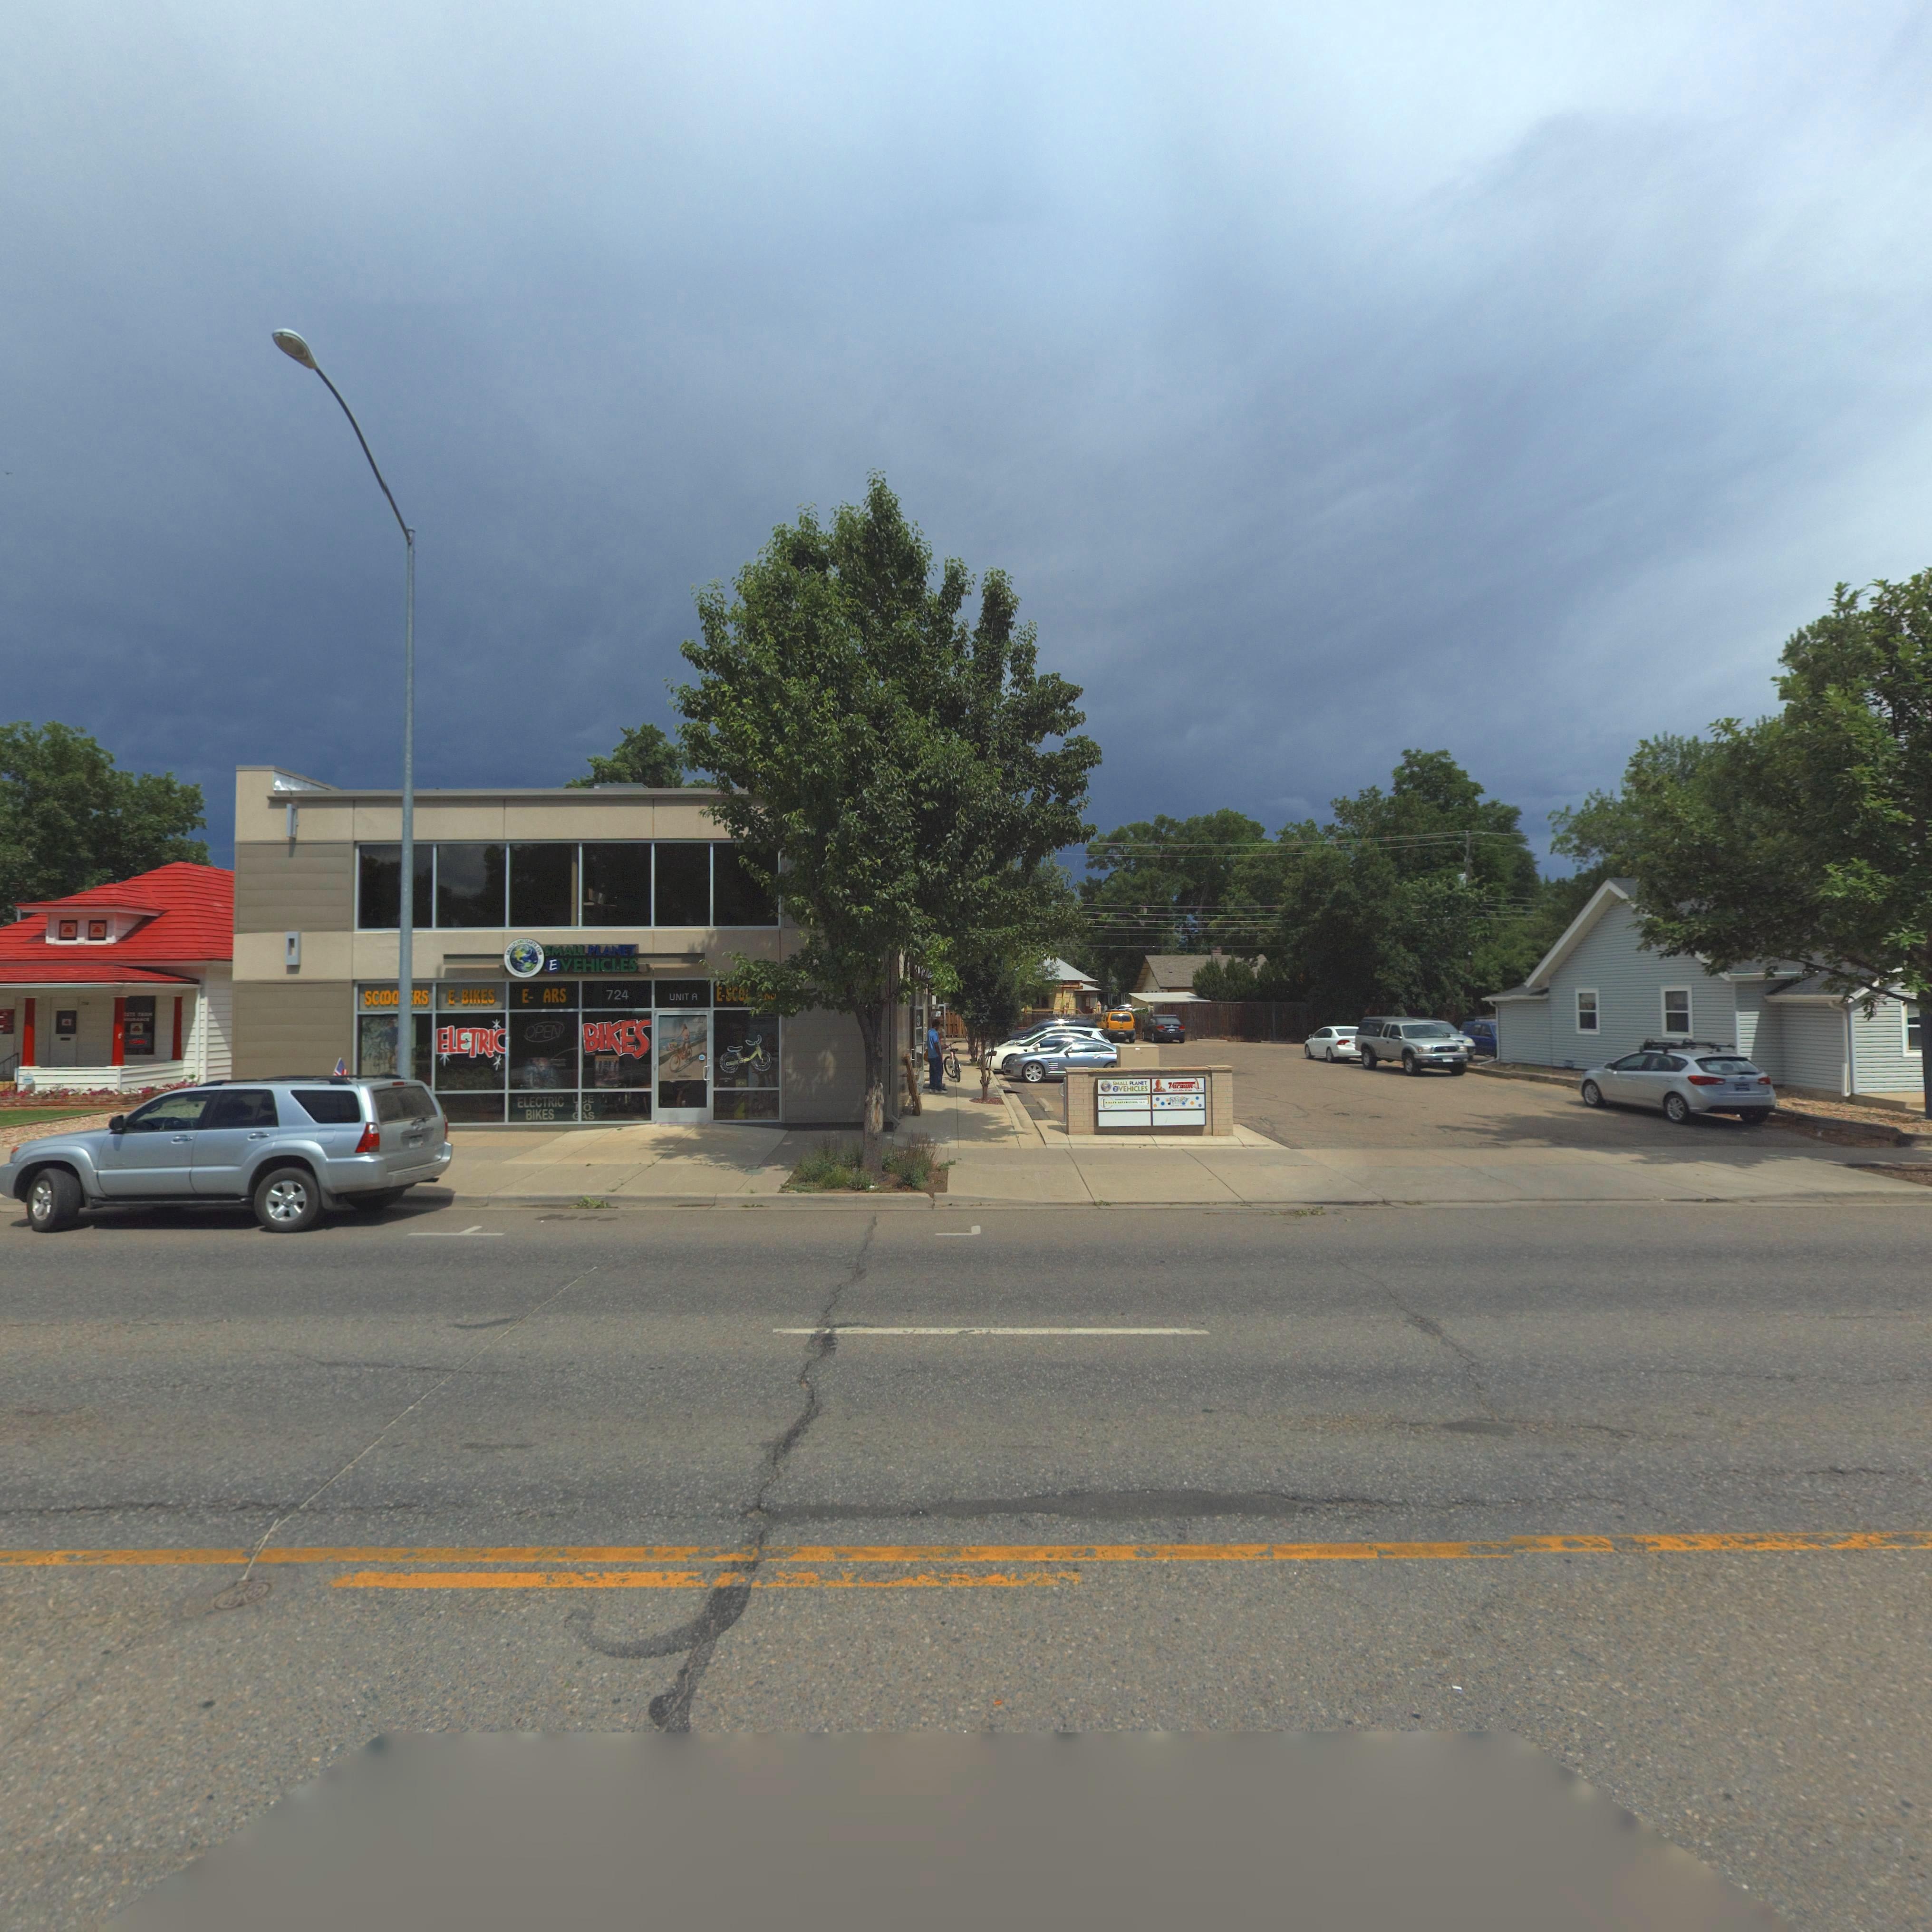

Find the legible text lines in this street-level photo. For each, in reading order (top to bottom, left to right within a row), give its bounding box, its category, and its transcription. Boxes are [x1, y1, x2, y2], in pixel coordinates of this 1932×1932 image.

[542, 944, 638, 957] BusinessName: SMALLPLANET
[548, 957, 638, 973] BusinessName: EVEHICLES
[606, 989, 629, 1001] StreetNumber: 724
[669, 992, 697, 1001] SecondaryUnitDesignator: UNIT A
[81, 1001, 89, 1005] StreetNumber: 7**
[126, 1011, 153, 1017] BusinessName: ATE FARM
[126, 1017, 150, 1022] BusinessName: URANCE
[1167, 1082, 1193, 1089] BusinessName: Vacaum